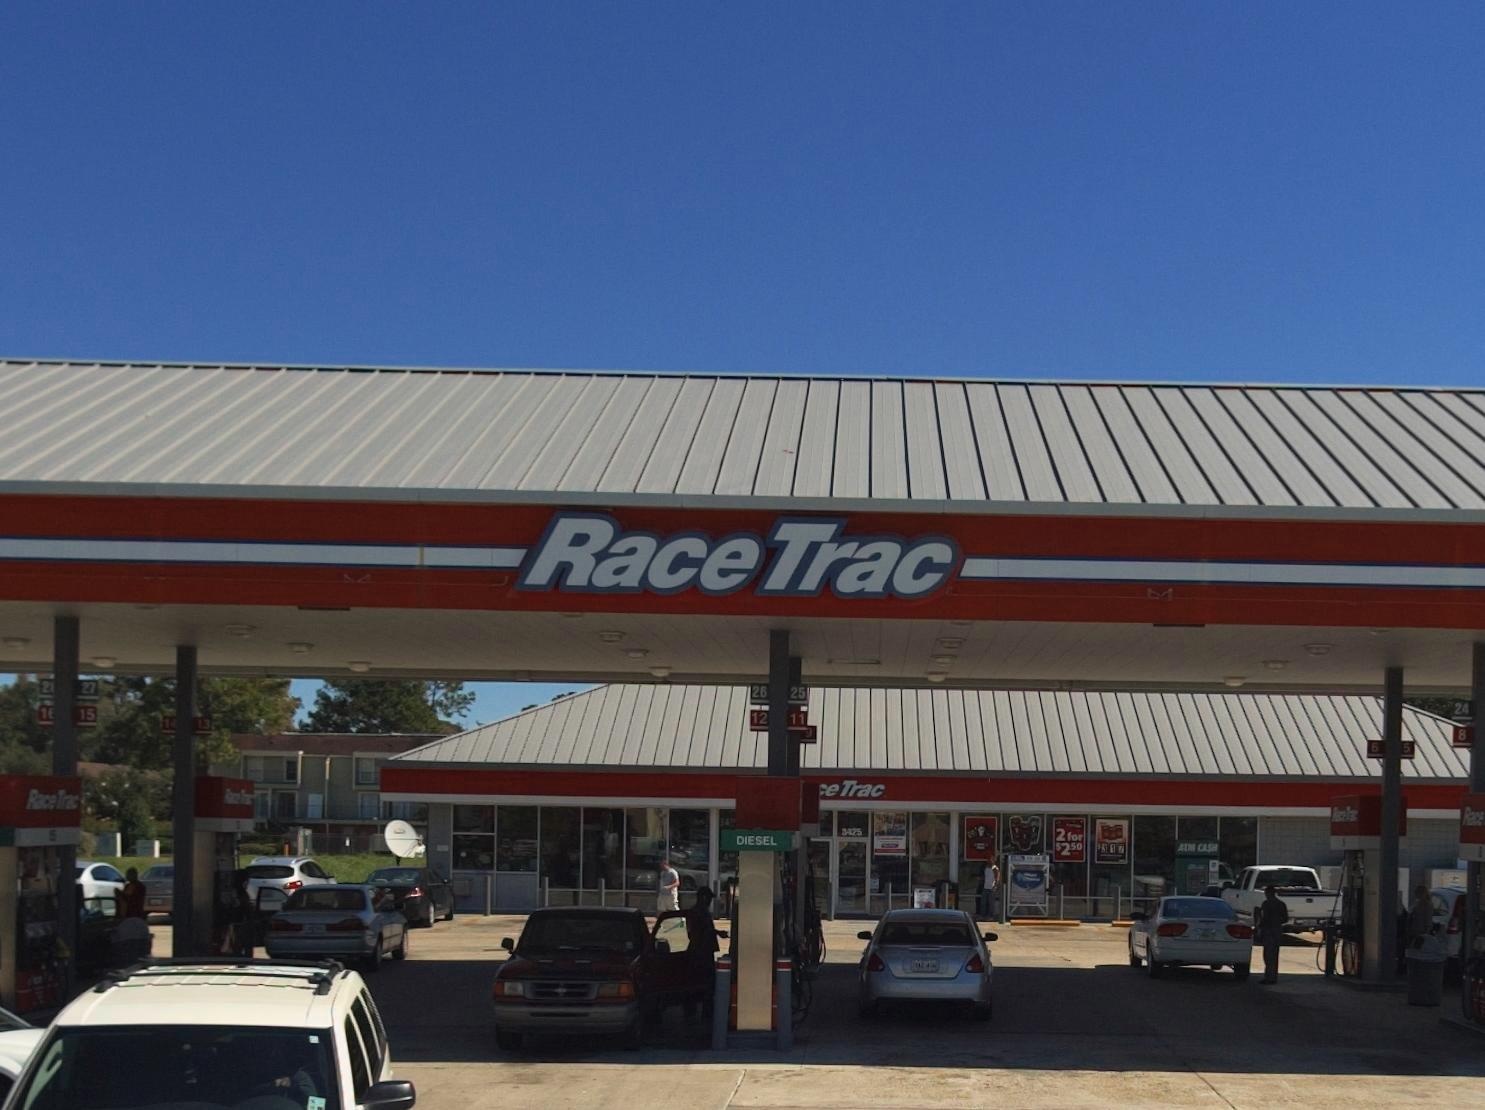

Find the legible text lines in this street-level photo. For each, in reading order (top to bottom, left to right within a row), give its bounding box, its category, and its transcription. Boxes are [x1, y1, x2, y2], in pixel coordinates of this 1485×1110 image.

[507, 507, 974, 600] BusinessName: RaceTrac
[40, 679, 52, 695] None: 2
[79, 680, 98, 695] None: 27
[751, 684, 769, 699] None: 26
[789, 684, 807, 701] None: 25
[39, 704, 49, 721] None: 1
[78, 706, 97, 722] None: 15
[161, 716, 171, 729] None: 1
[196, 717, 212, 731] None: 13
[750, 710, 770, 726] None: 12
[788, 711, 807, 726] None: 11
[1452, 700, 1471, 717] None: 24
[1456, 726, 1469, 743] None: 8
[1369, 740, 1382, 754] None: 6
[1401, 741, 1412, 755] None: 5
[21, 786, 81, 812] BusinessName: RaceTrac
[220, 786, 254, 807] BusinessName: RaceTrac
[823, 778, 887, 799] BusinessName: e Trac
[1458, 803, 1482, 827] None: Rac
[735, 834, 779, 847] None: DIESEL
[840, 826, 864, 837] StreetNumber: 3425
[1054, 826, 1085, 842] None: 2 for
[1059, 841, 1084, 857] None: 250
[1100, 841, 1126, 855] None: 3*7
[1174, 841, 1219, 855] None: ATM CASH